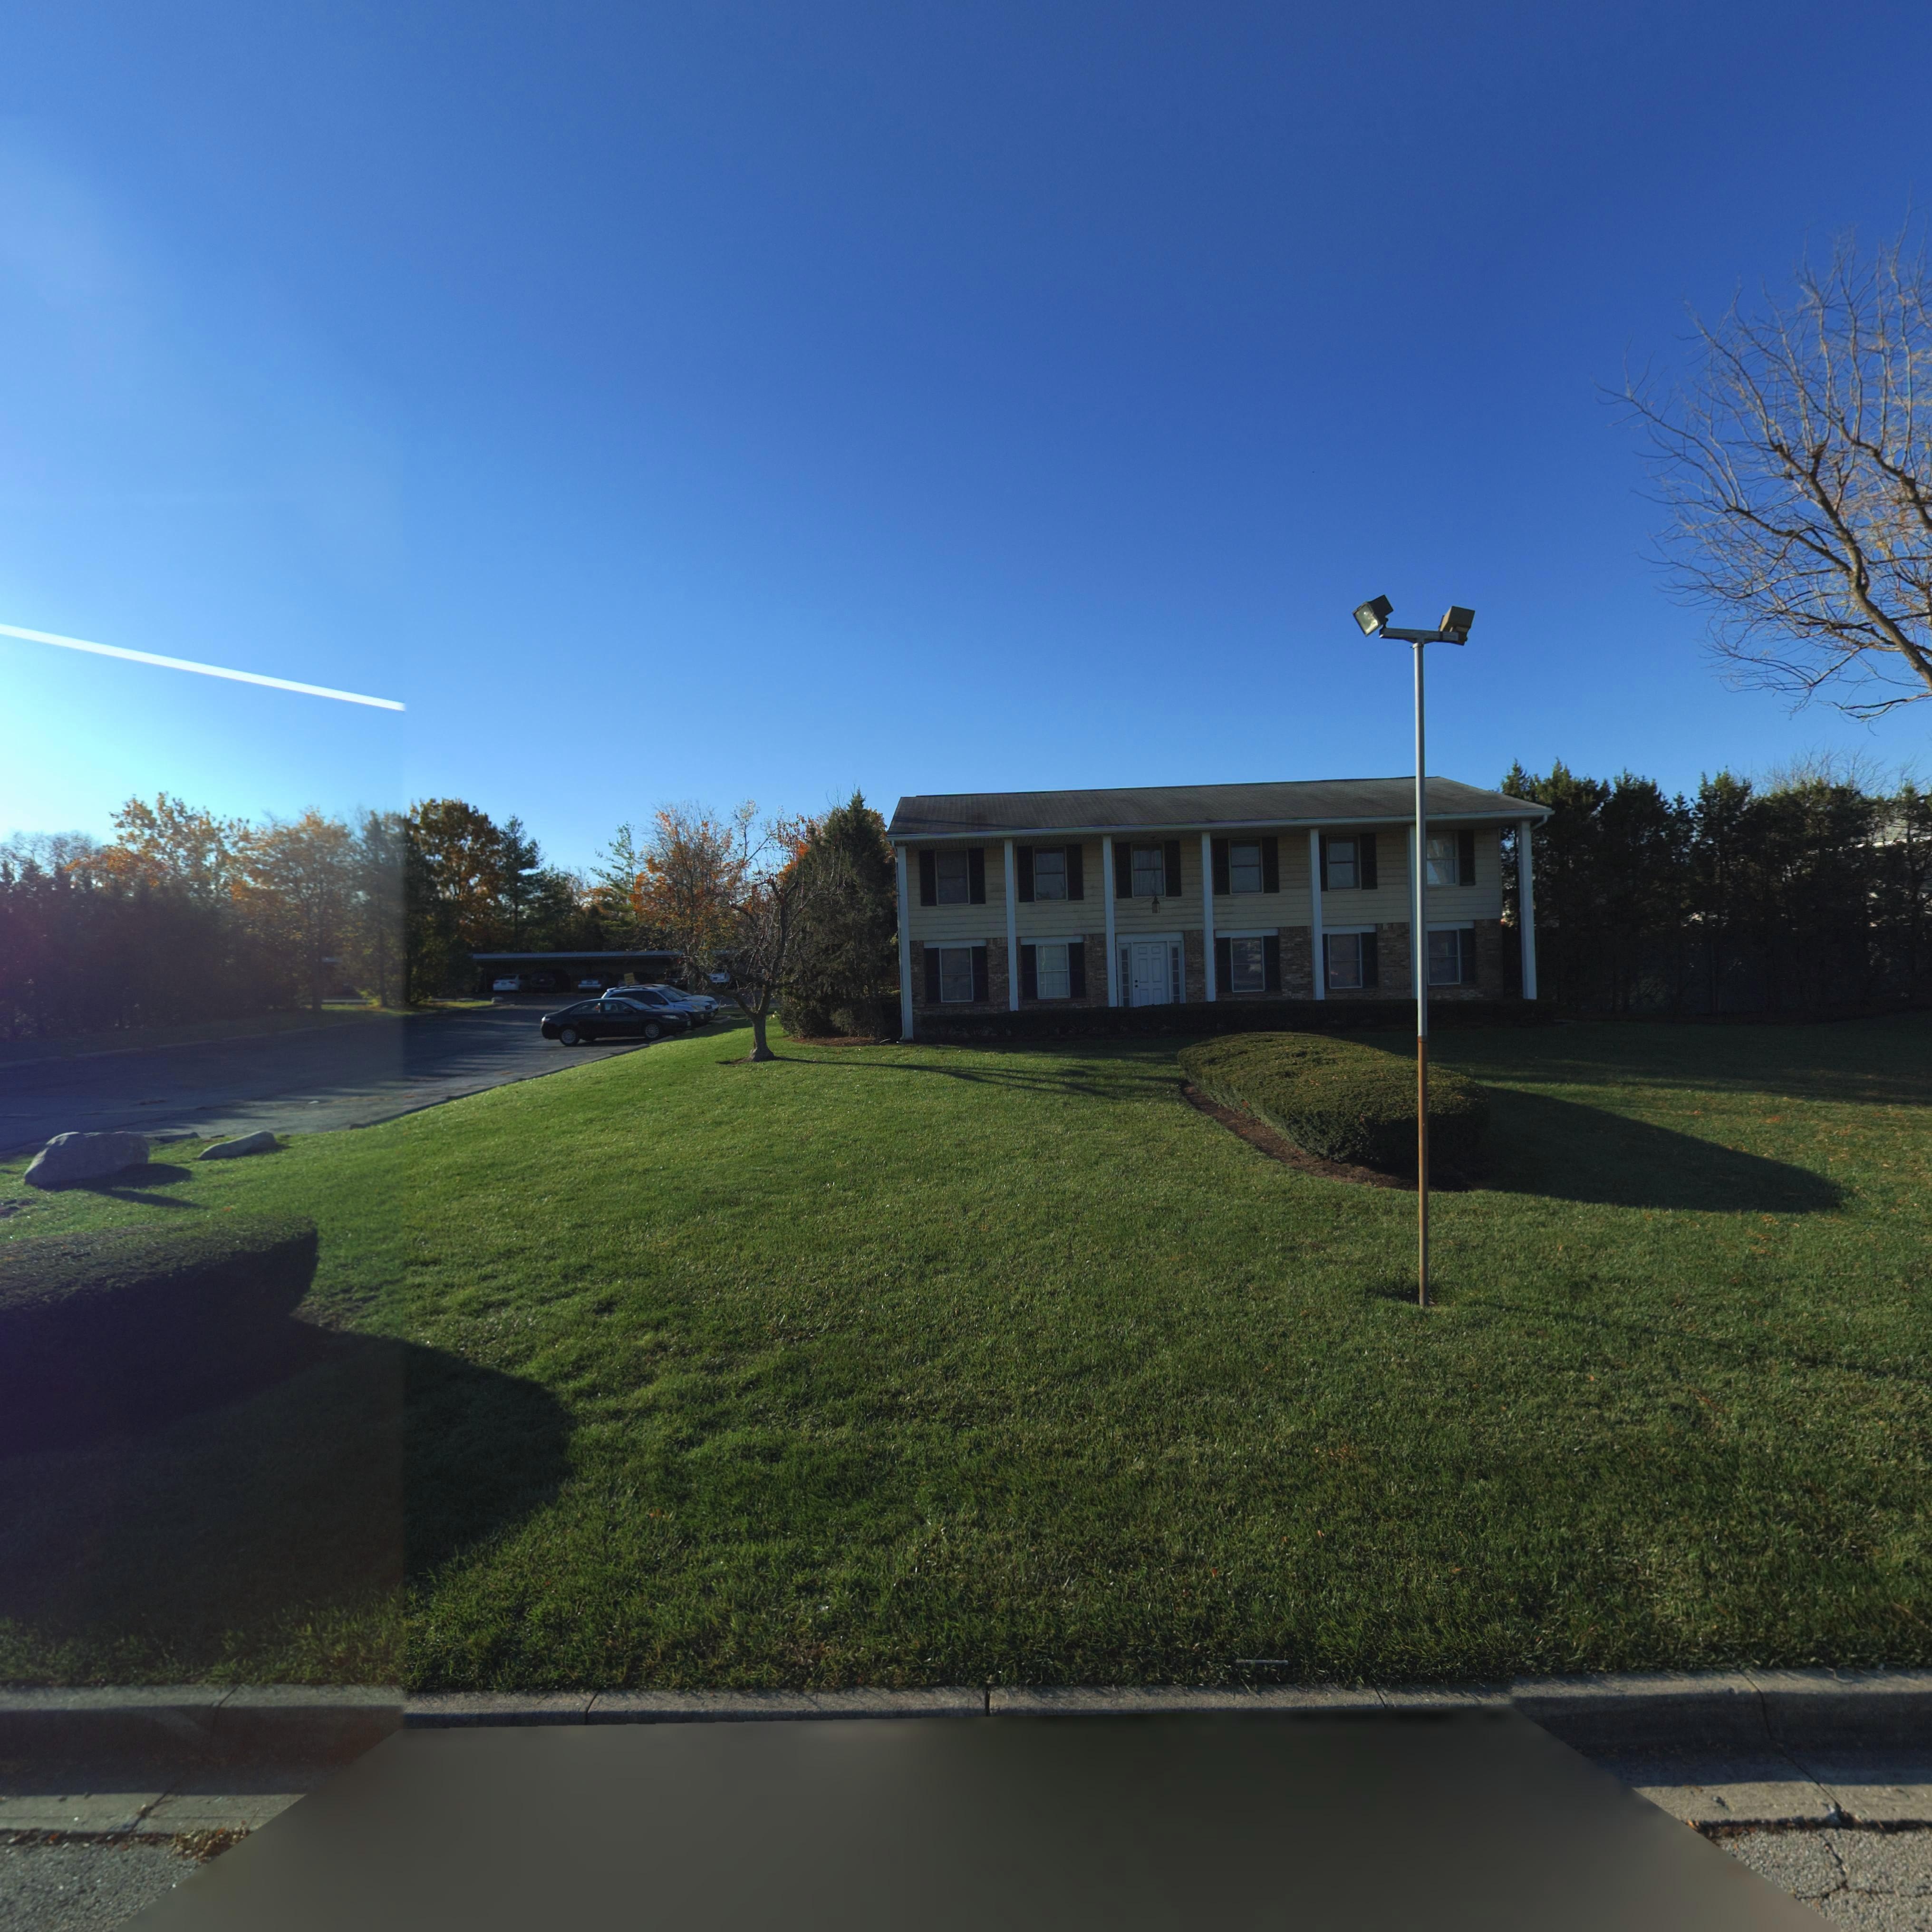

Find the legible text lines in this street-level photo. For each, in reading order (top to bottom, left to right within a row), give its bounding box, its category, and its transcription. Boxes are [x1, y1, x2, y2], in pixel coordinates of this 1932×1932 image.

[1188, 954, 1201, 963] StreetNumber: 55